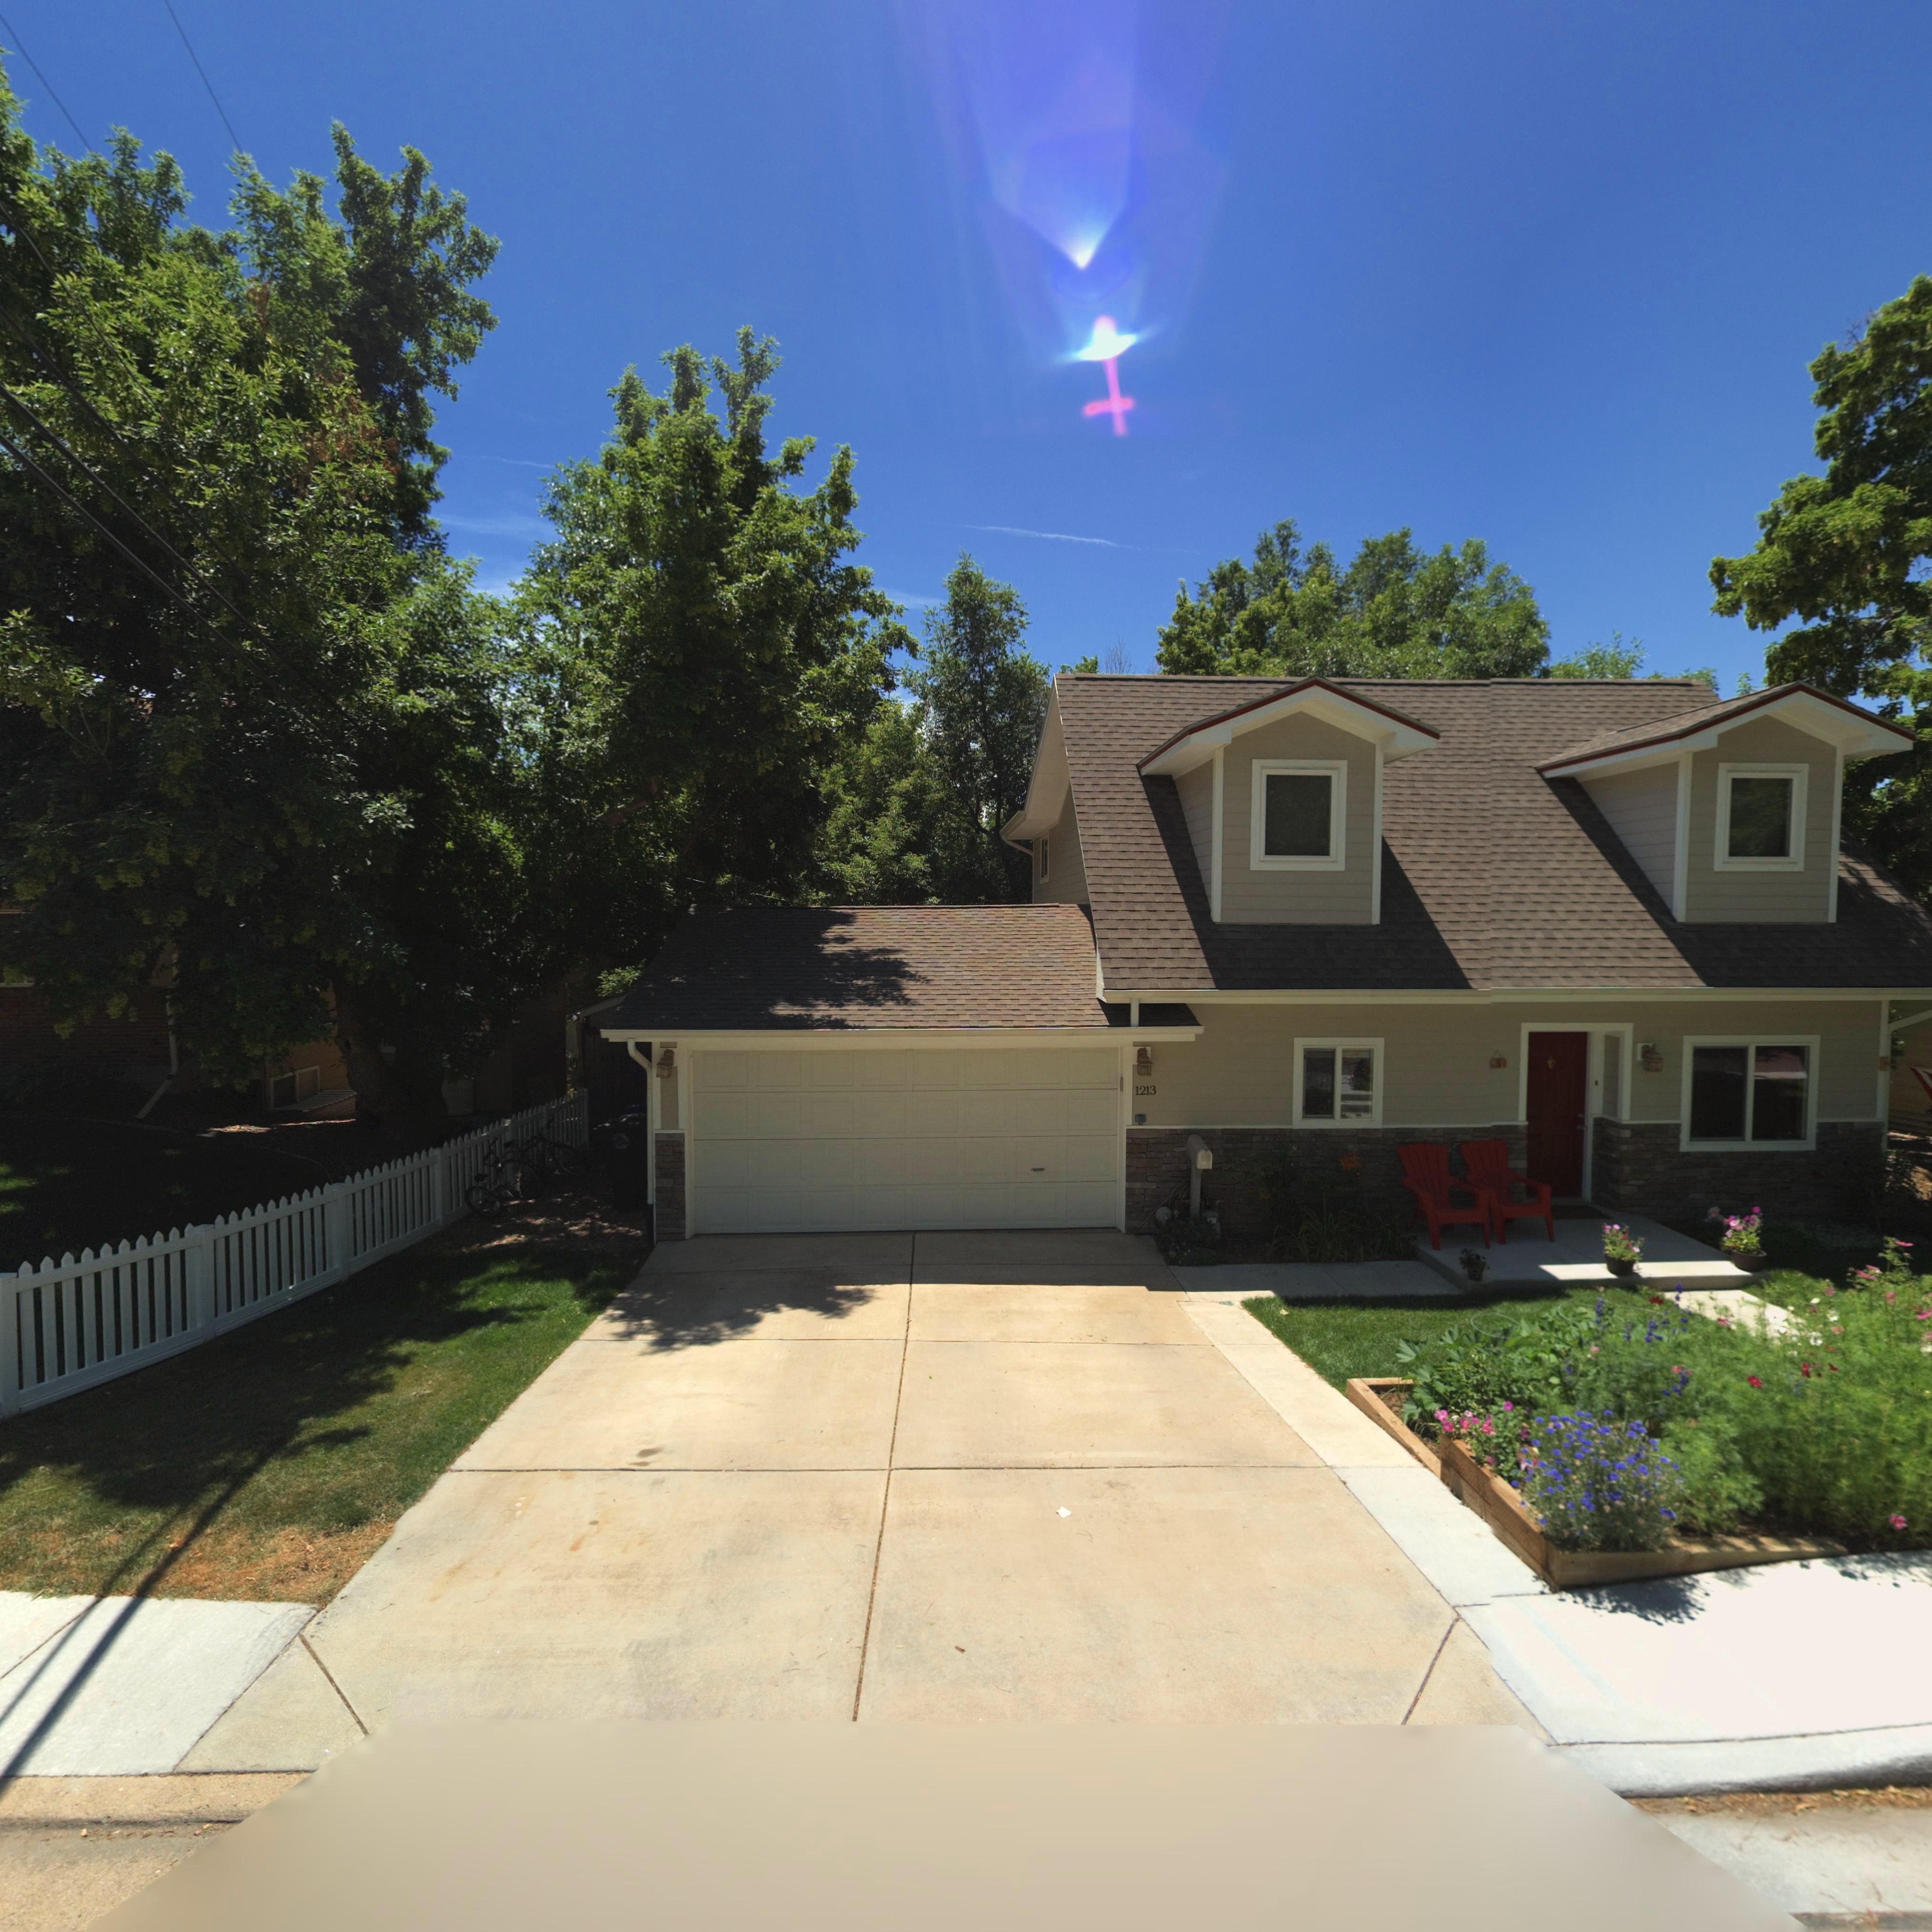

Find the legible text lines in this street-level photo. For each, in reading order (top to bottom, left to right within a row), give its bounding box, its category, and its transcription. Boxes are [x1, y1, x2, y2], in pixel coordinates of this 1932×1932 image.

[1135, 1085, 1156, 1095] StreetNumber: 1213